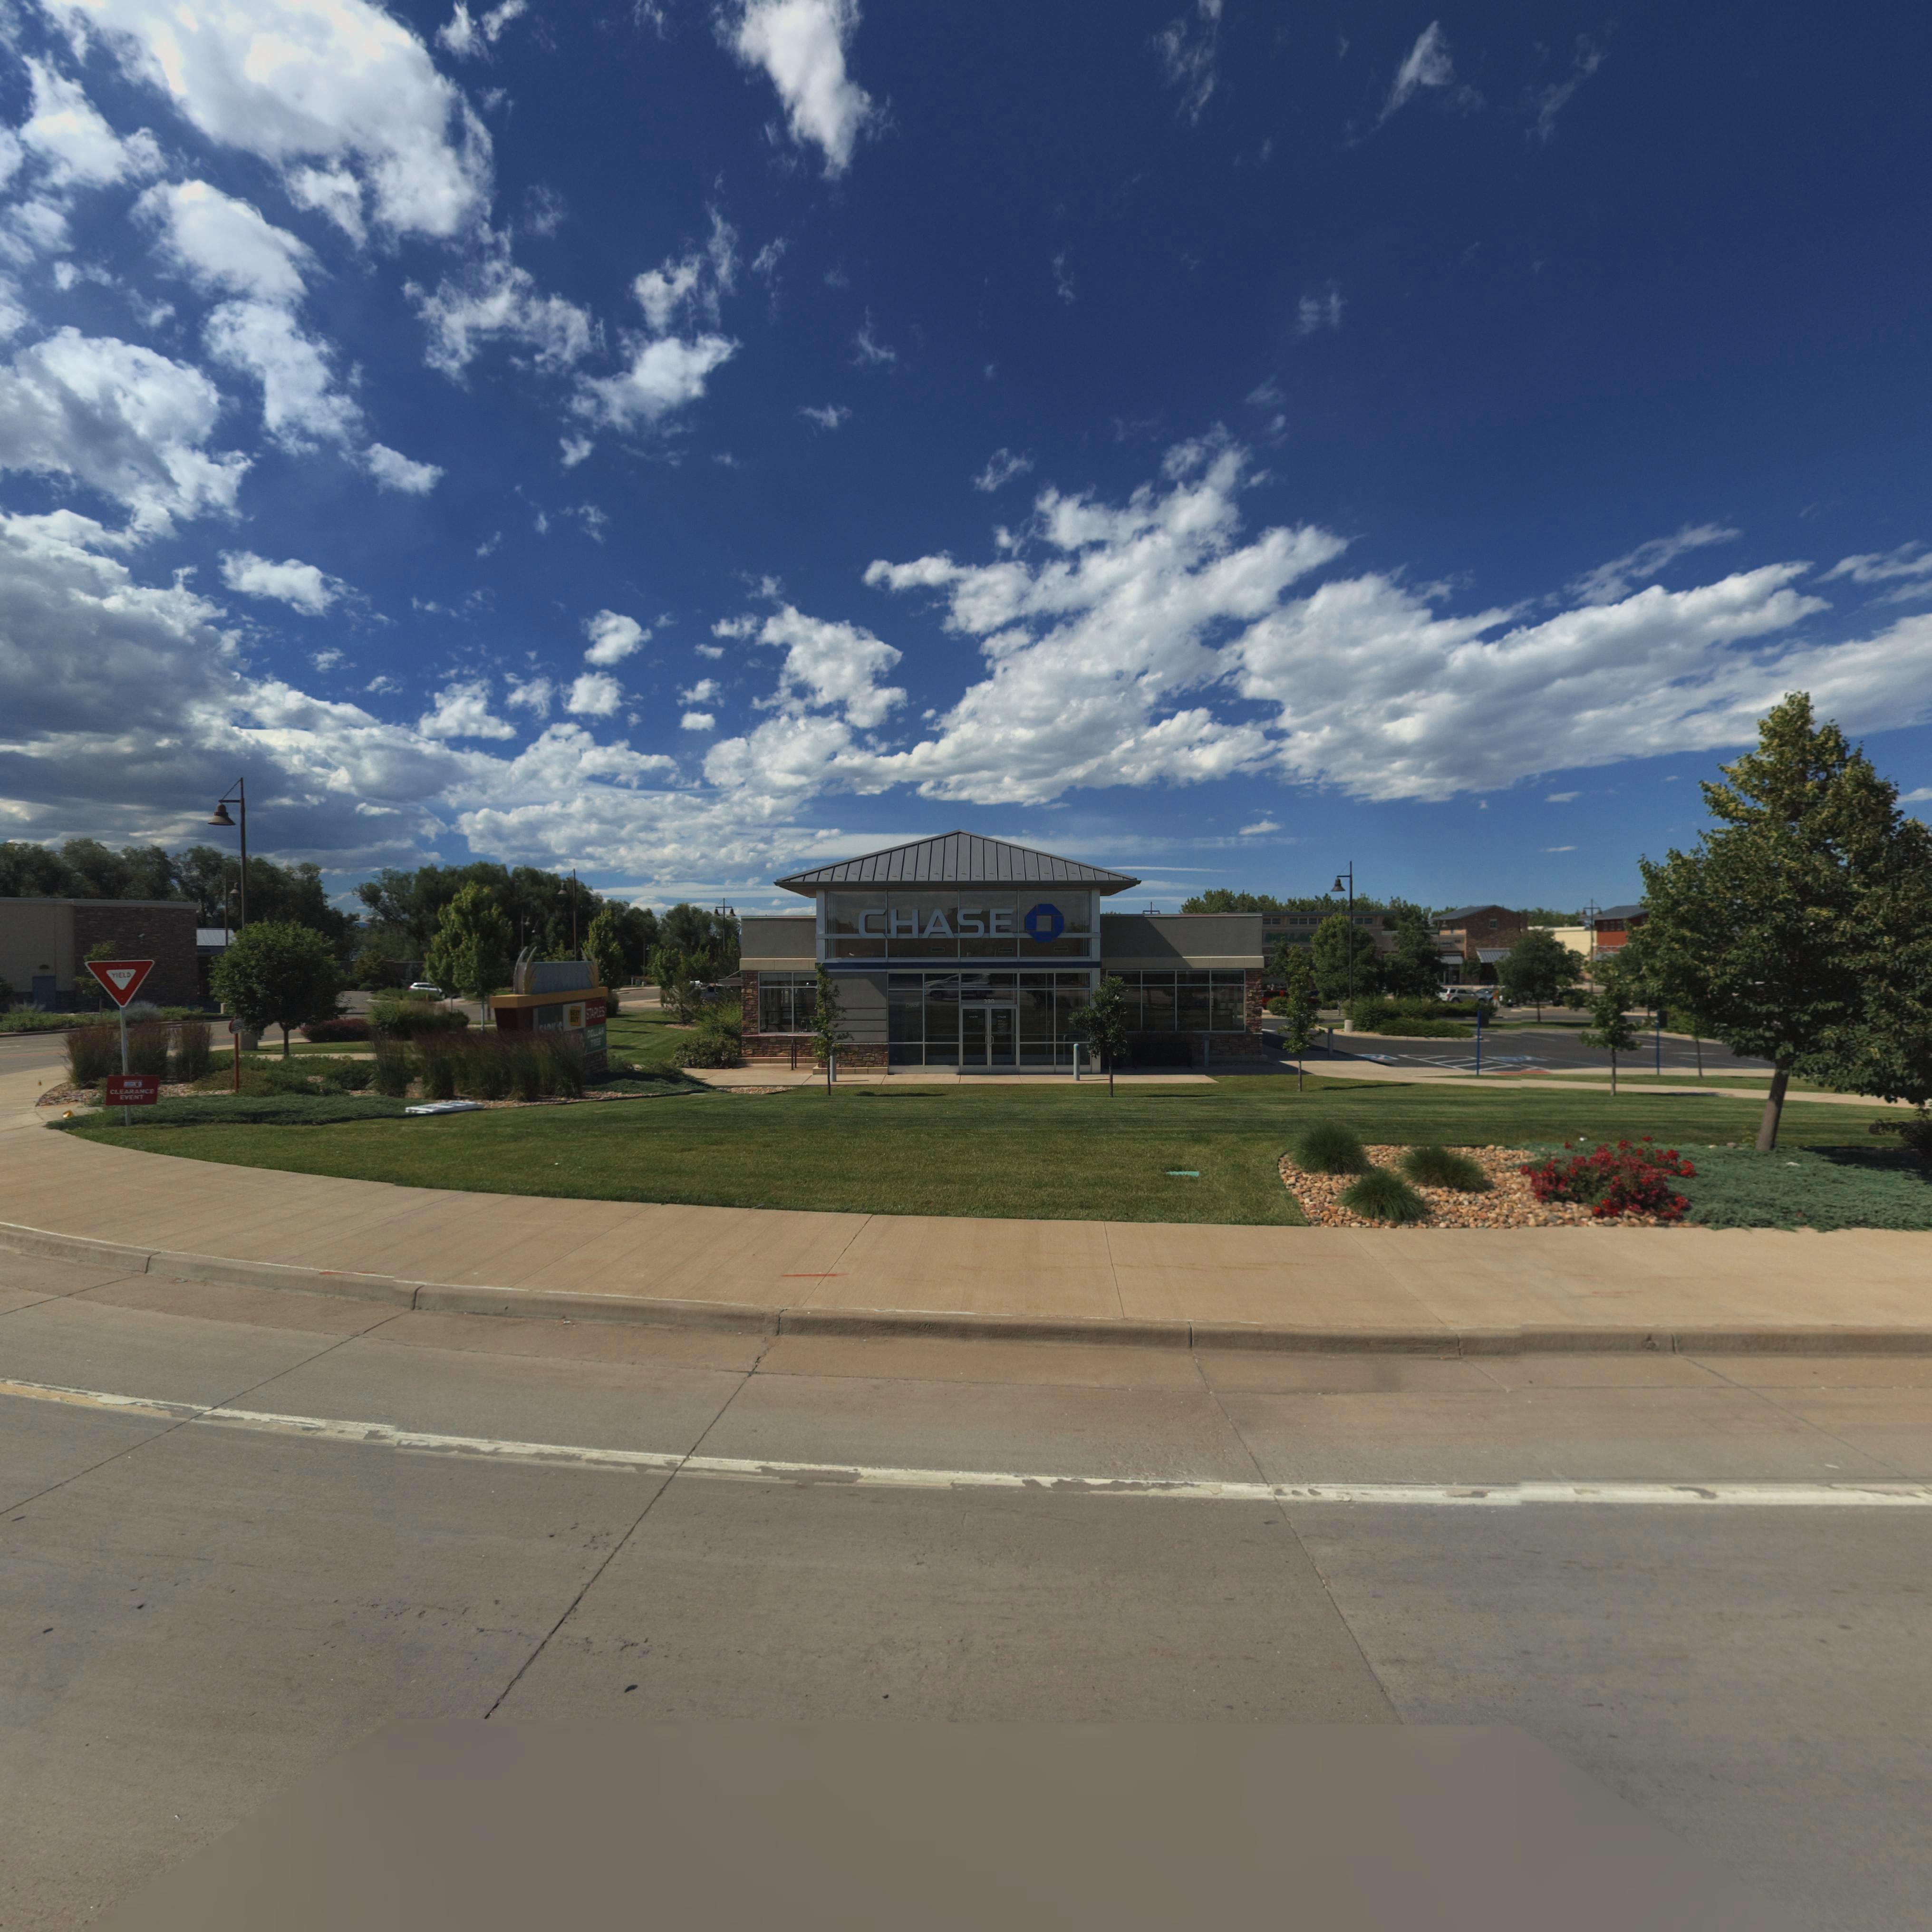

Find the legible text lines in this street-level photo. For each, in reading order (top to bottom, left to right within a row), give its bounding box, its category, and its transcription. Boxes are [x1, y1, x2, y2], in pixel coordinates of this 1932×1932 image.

[858, 906, 1015, 939] BusinessName: CHASE
[1264, 931, 1306, 943] BusinessName: DOLLA
[983, 998, 995, 1004] StreetNumber: 390
[569, 1009, 580, 1016] BusinessName: *EST
[585, 1004, 605, 1021] BusinessName: STAPLES
[569, 1016, 579, 1023] BusinessName: BUY
[586, 1026, 604, 1039] BusinessName: DOLLAR
[589, 1037, 601, 1048] BusinessName: TREE